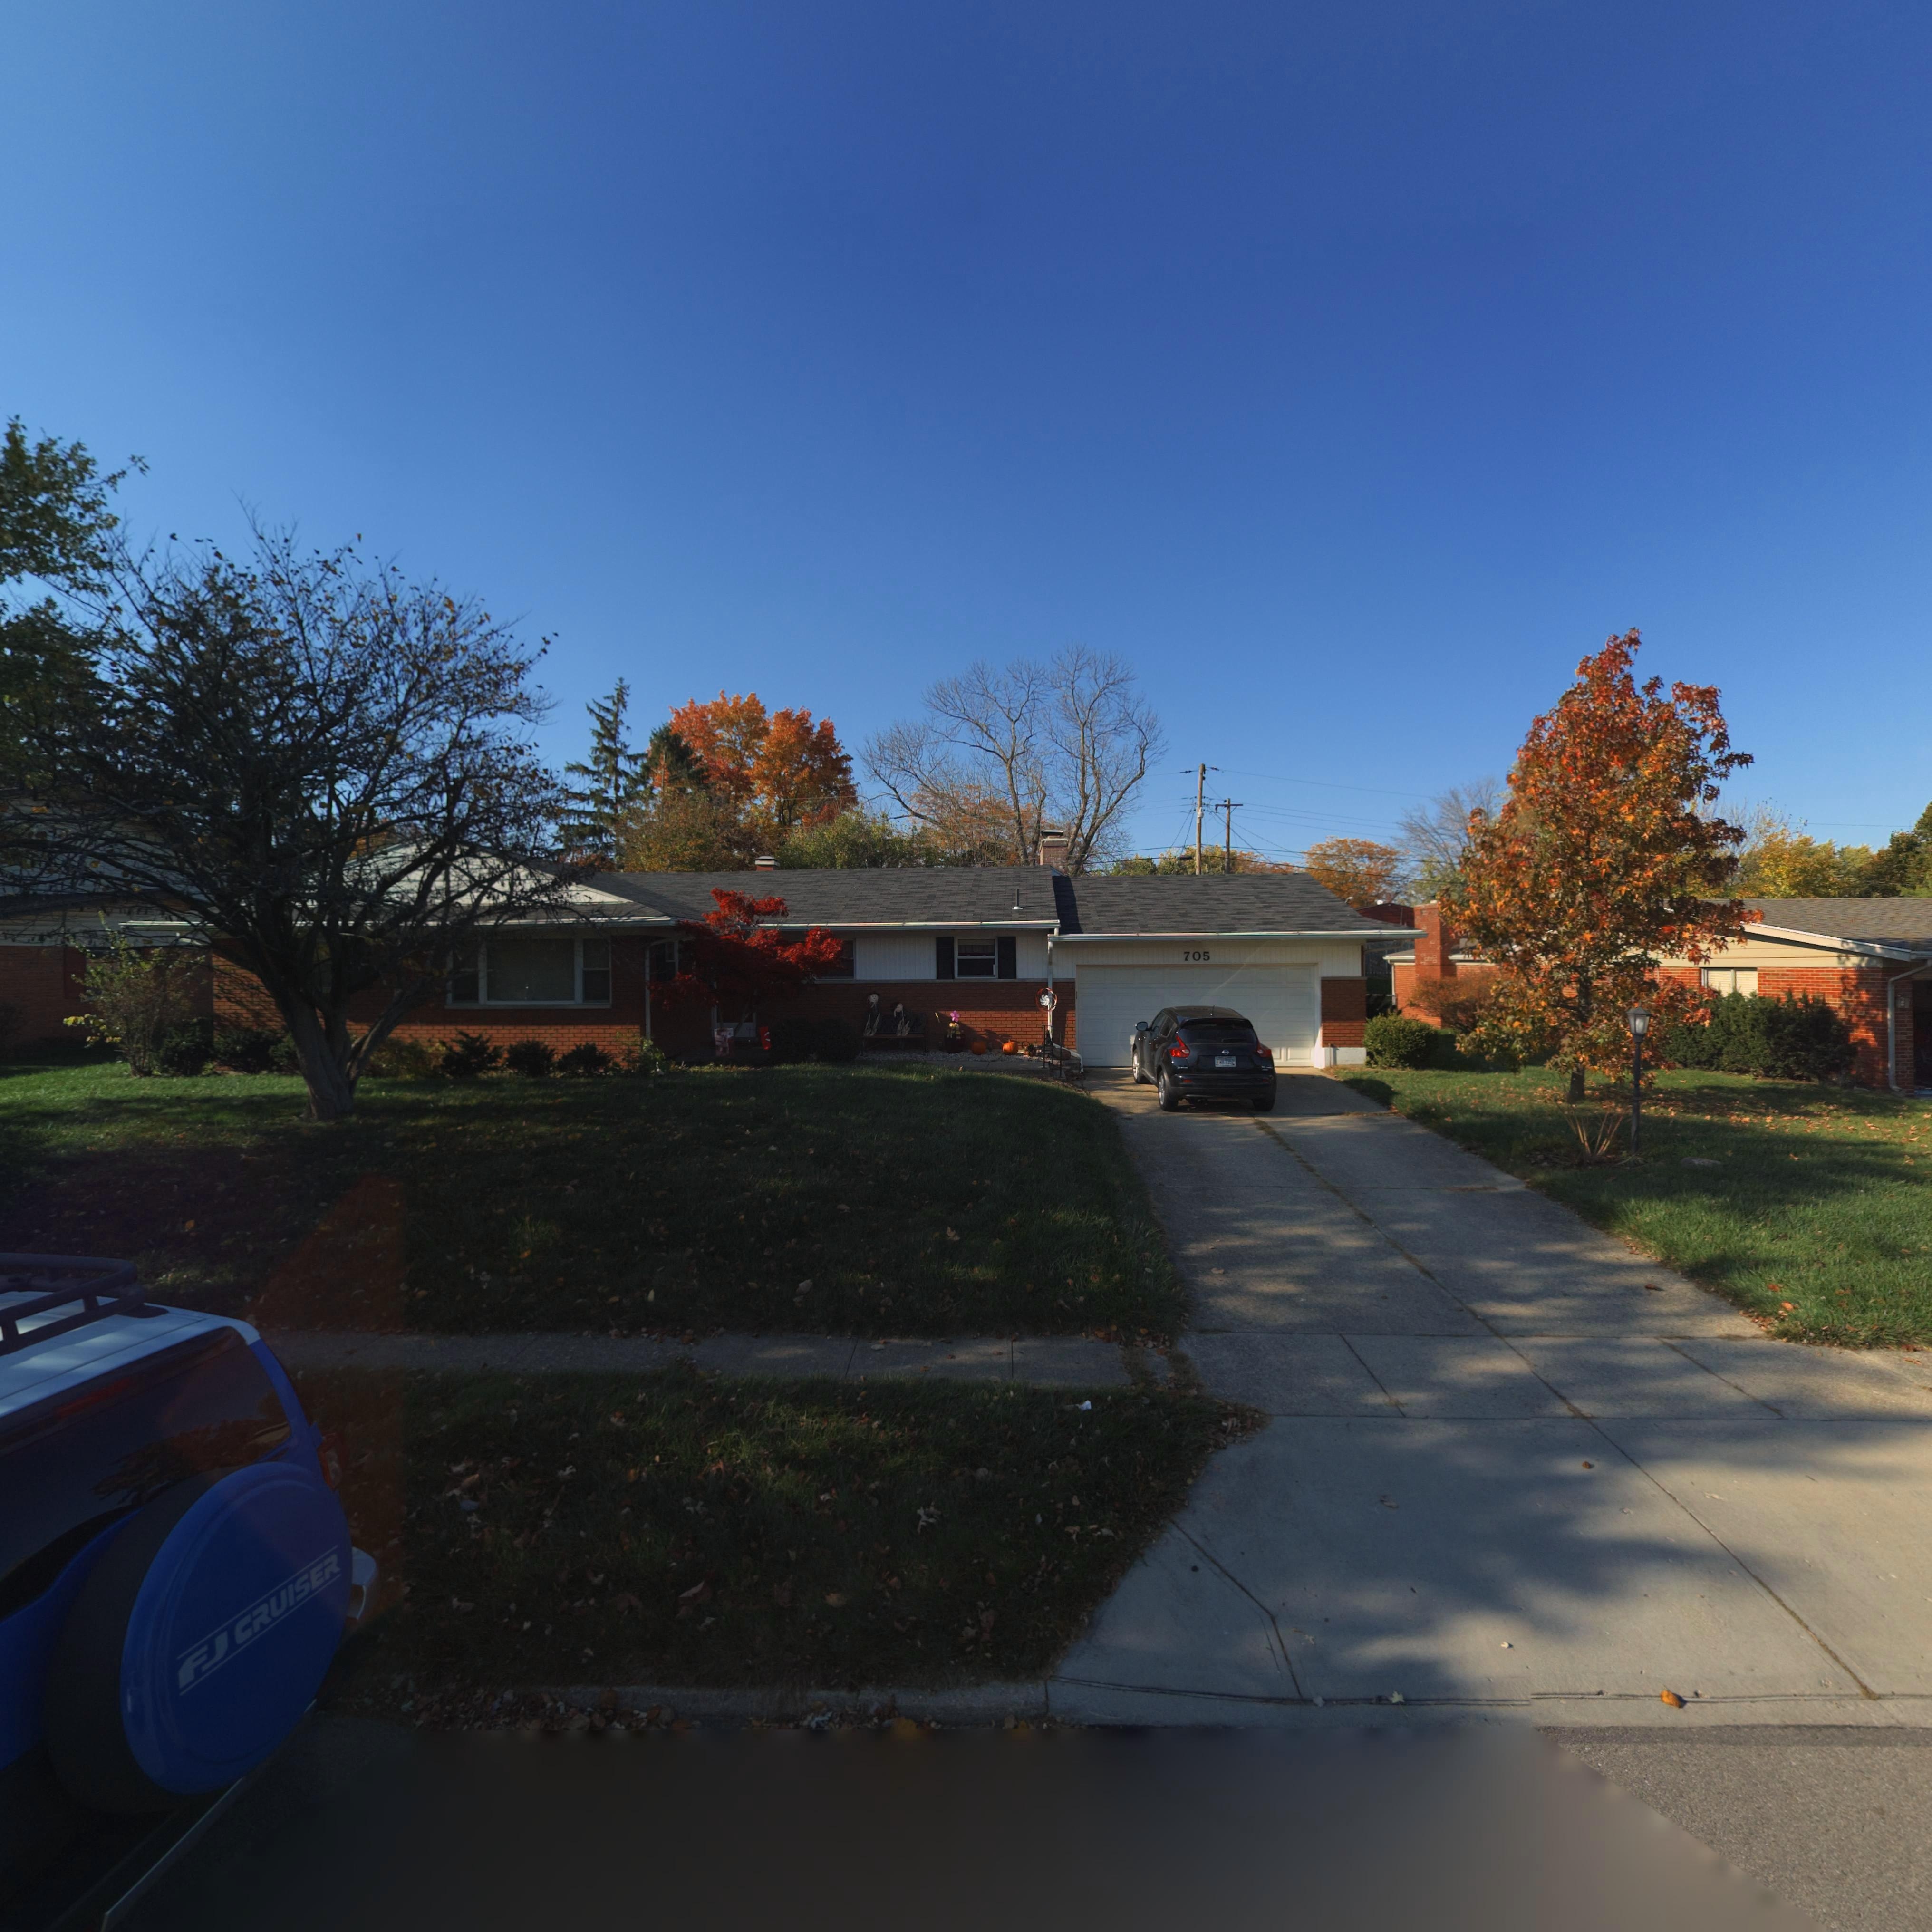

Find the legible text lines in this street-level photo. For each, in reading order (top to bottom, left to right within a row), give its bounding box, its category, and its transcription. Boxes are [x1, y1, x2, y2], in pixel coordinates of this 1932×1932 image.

[1183, 950, 1211, 962] StreetNumber: 705